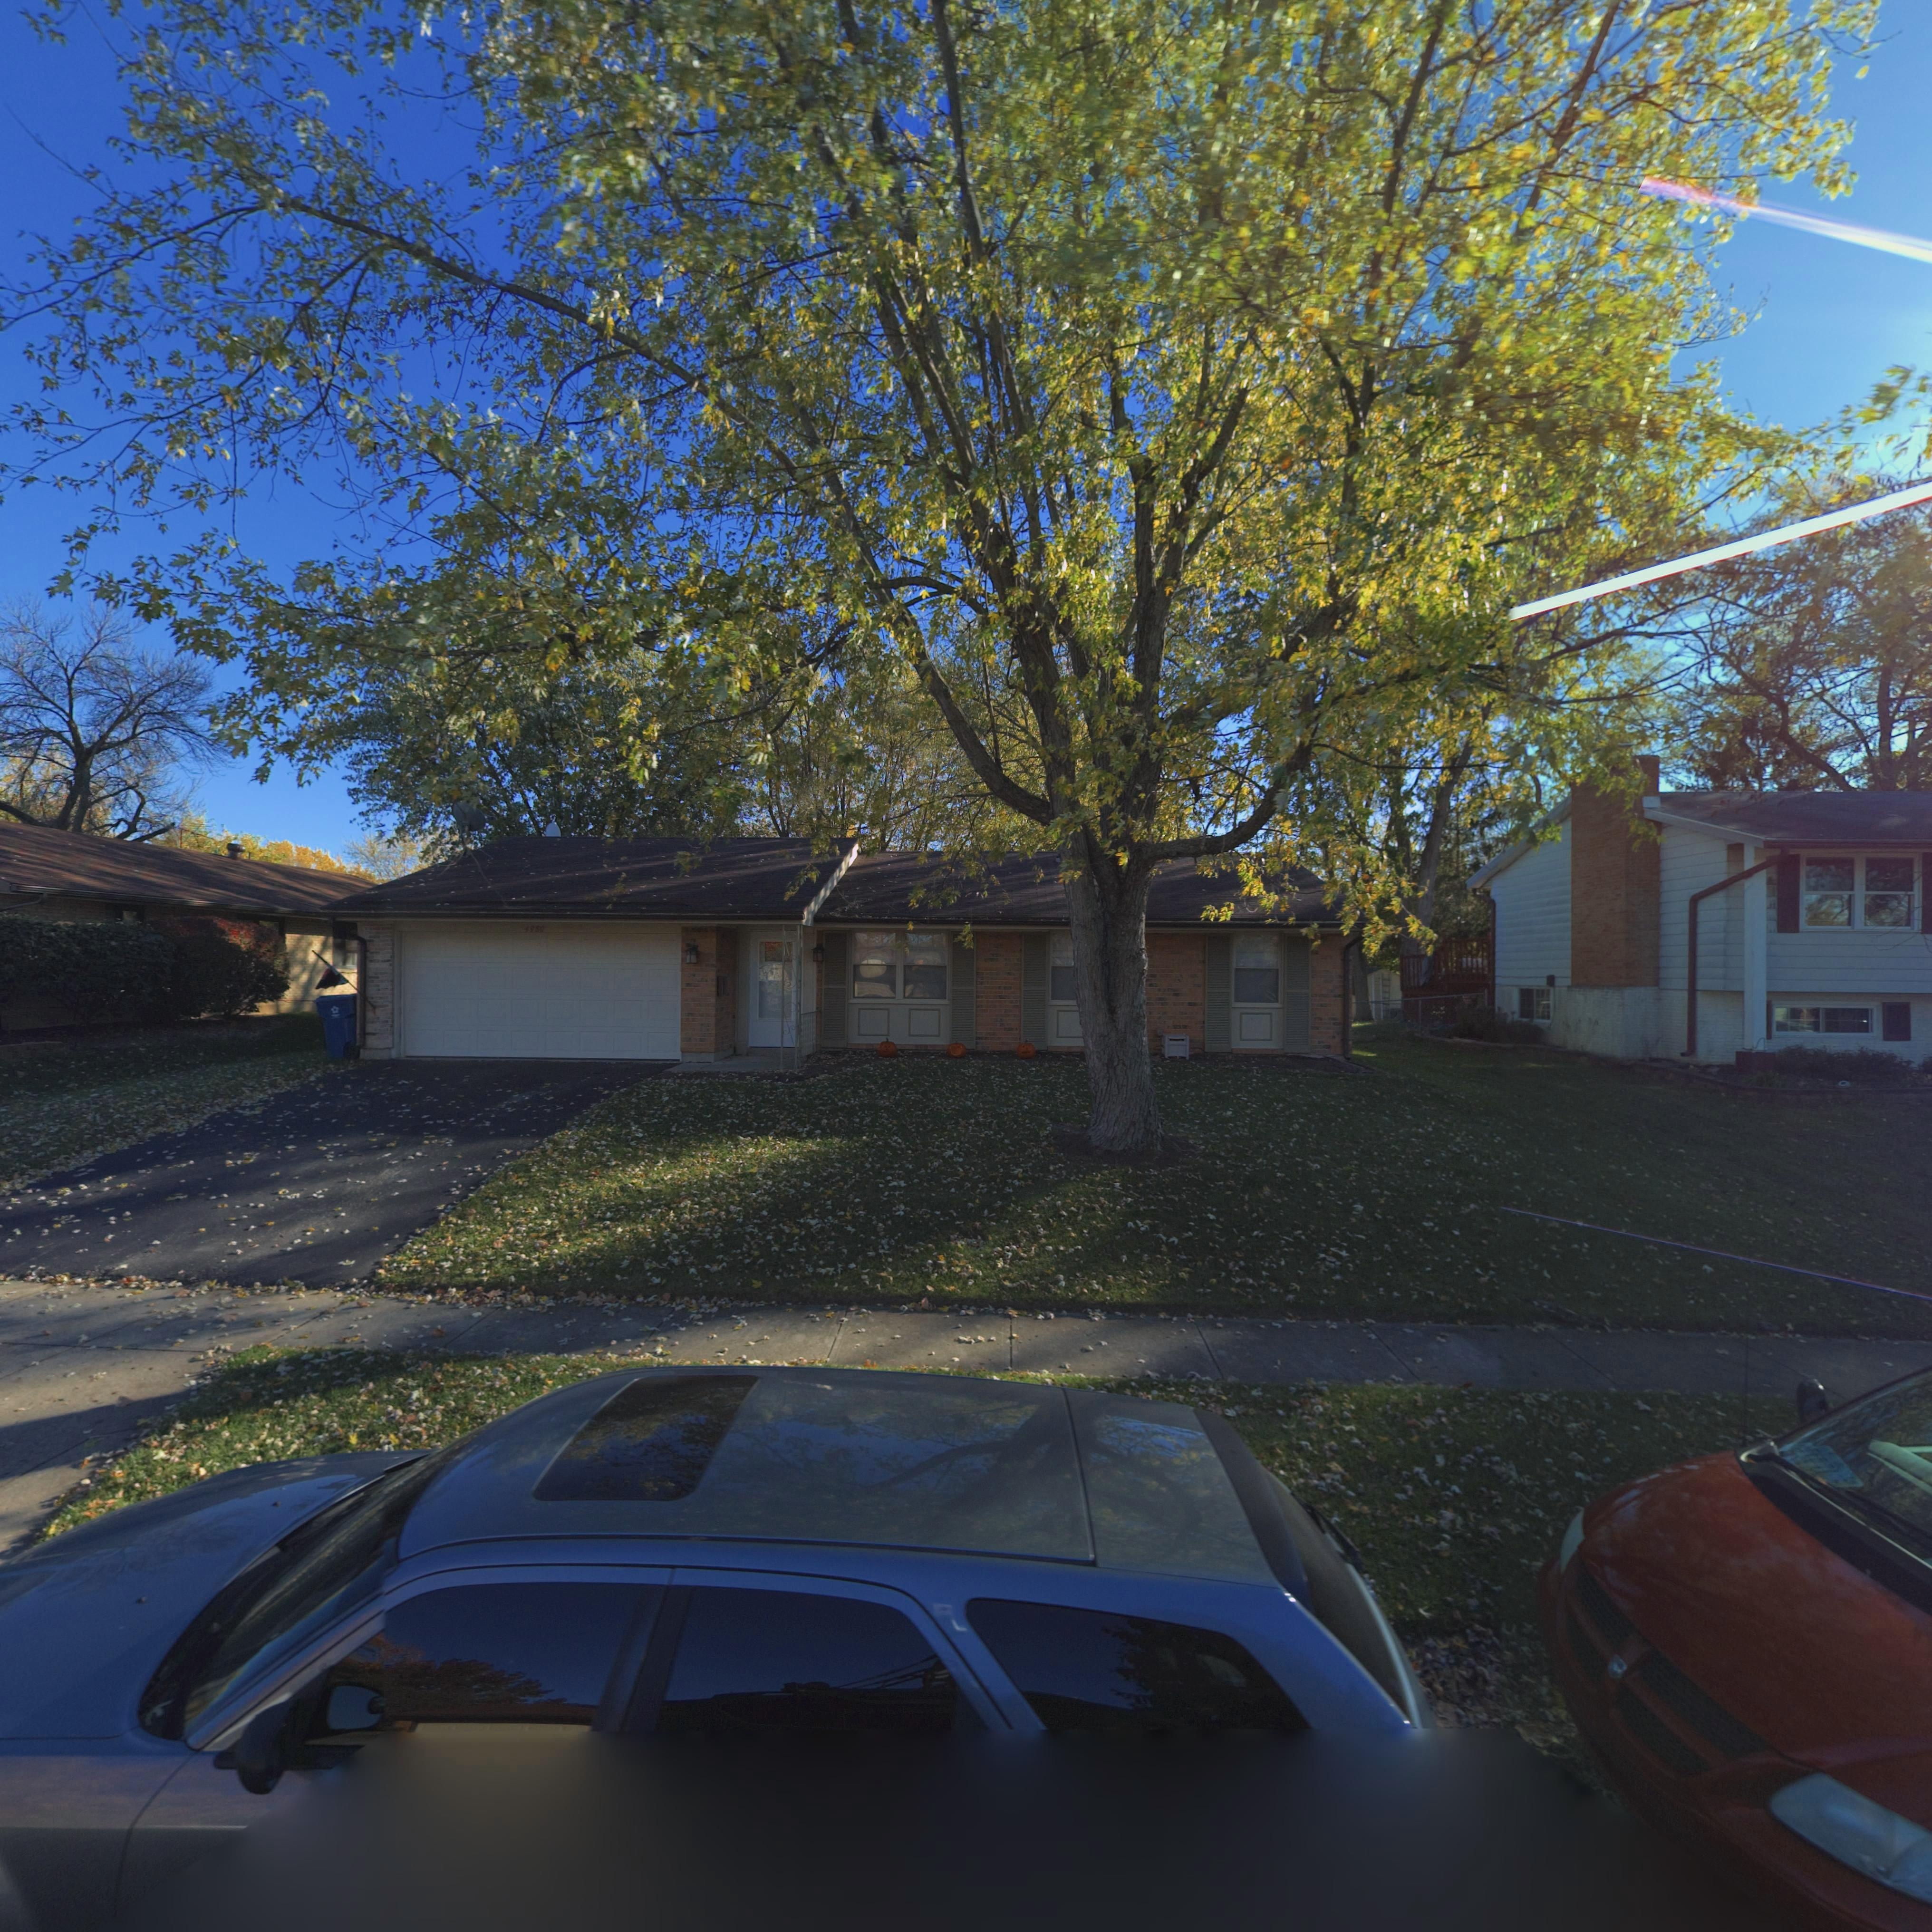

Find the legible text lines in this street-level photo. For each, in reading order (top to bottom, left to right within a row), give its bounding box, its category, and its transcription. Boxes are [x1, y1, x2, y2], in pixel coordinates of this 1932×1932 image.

[524, 925, 545, 933] StreetNumber: 4980